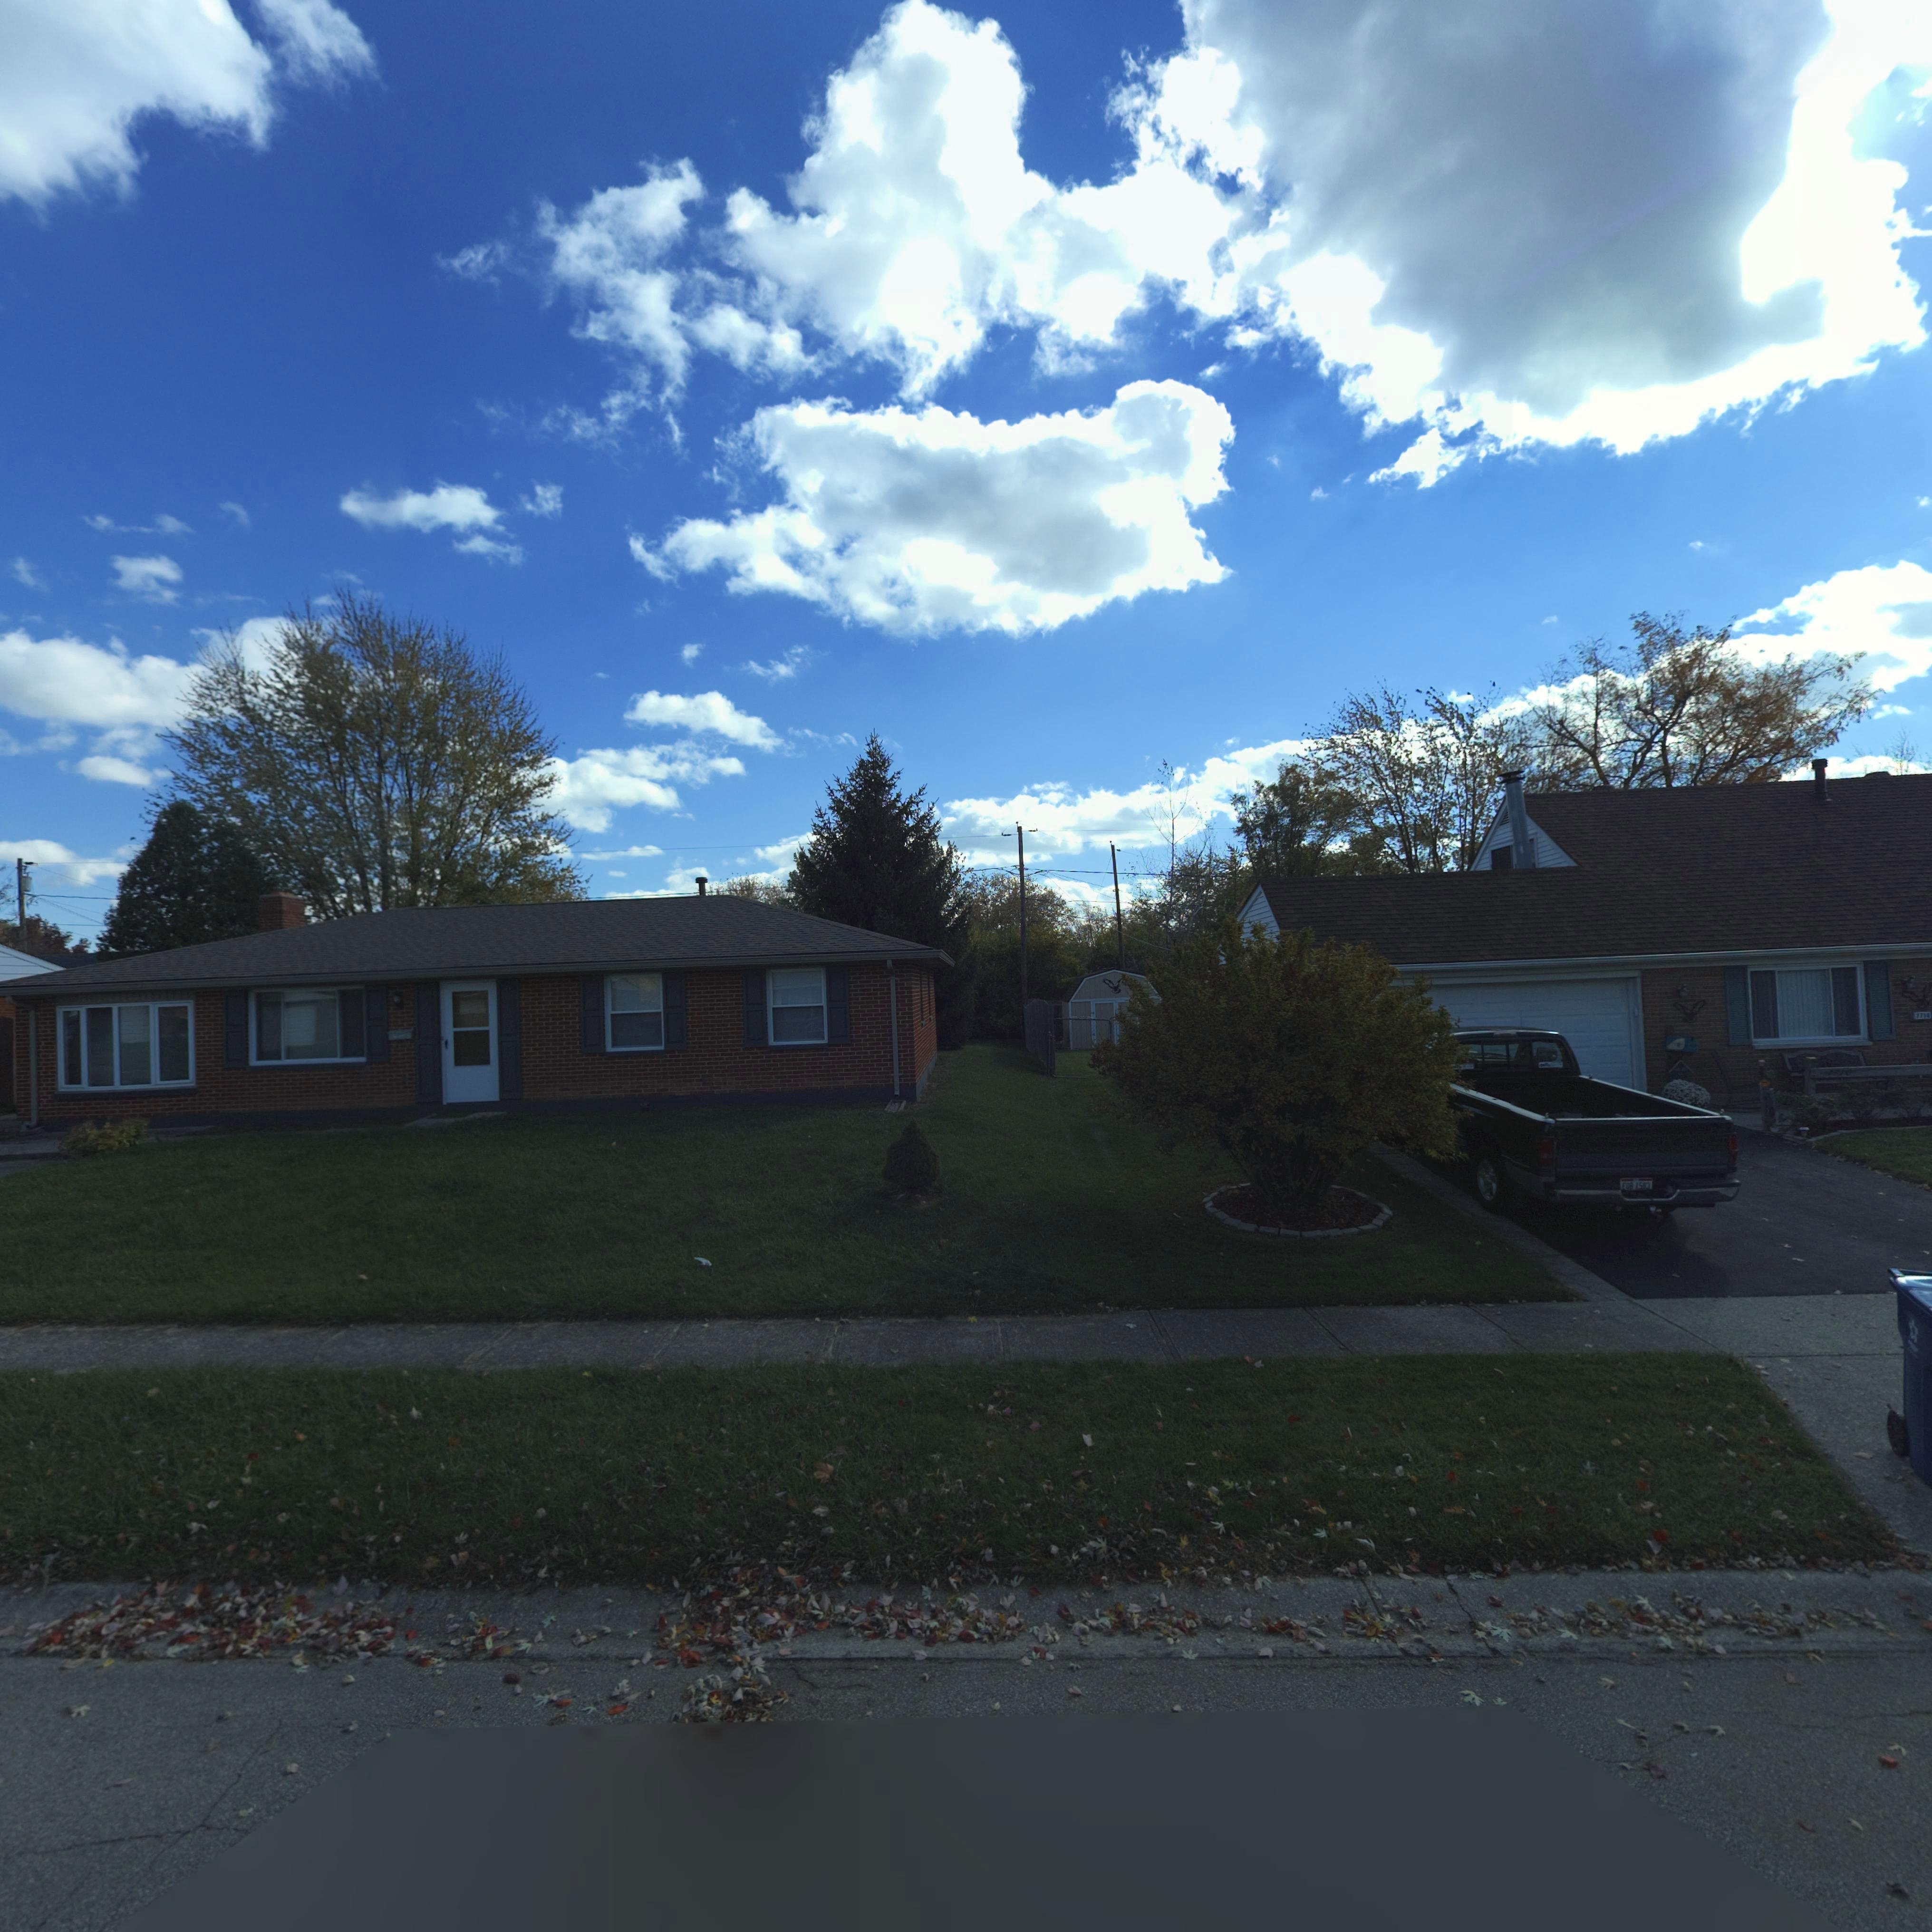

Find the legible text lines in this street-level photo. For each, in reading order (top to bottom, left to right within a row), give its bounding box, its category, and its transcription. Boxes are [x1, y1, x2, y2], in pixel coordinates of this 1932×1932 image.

[1915, 1012, 1930, 1019] StreetNumber: 7710